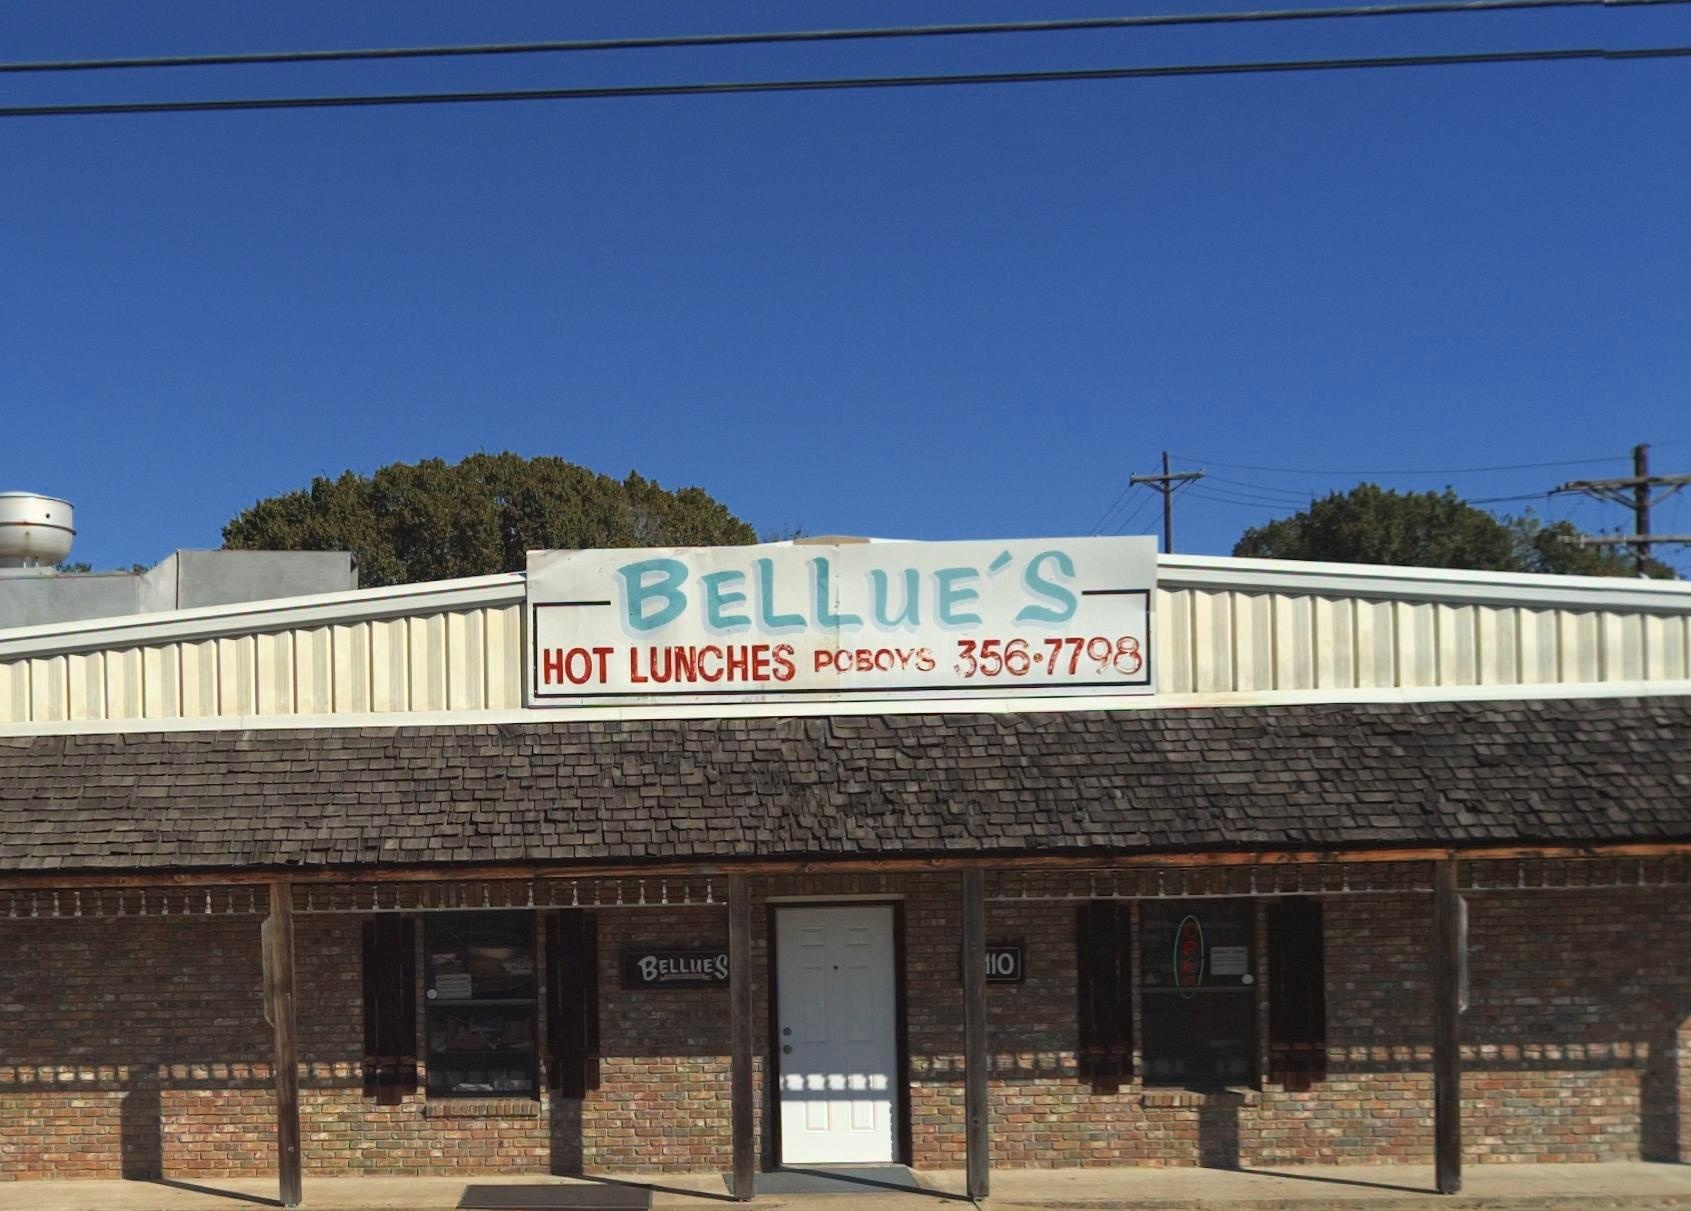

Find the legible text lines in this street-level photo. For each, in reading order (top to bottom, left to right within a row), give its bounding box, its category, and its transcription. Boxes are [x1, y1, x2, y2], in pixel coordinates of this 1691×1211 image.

[613, 544, 1082, 640] BusinessName: BELLUE'S
[539, 633, 1148, 686] None: HOT LUNCHES POBOYS 356*7798
[634, 952, 731, 985] BusinessName: BELLUE'S
[990, 951, 1016, 976] StreetNumber: 10
[1179, 919, 1200, 975] None: OPE